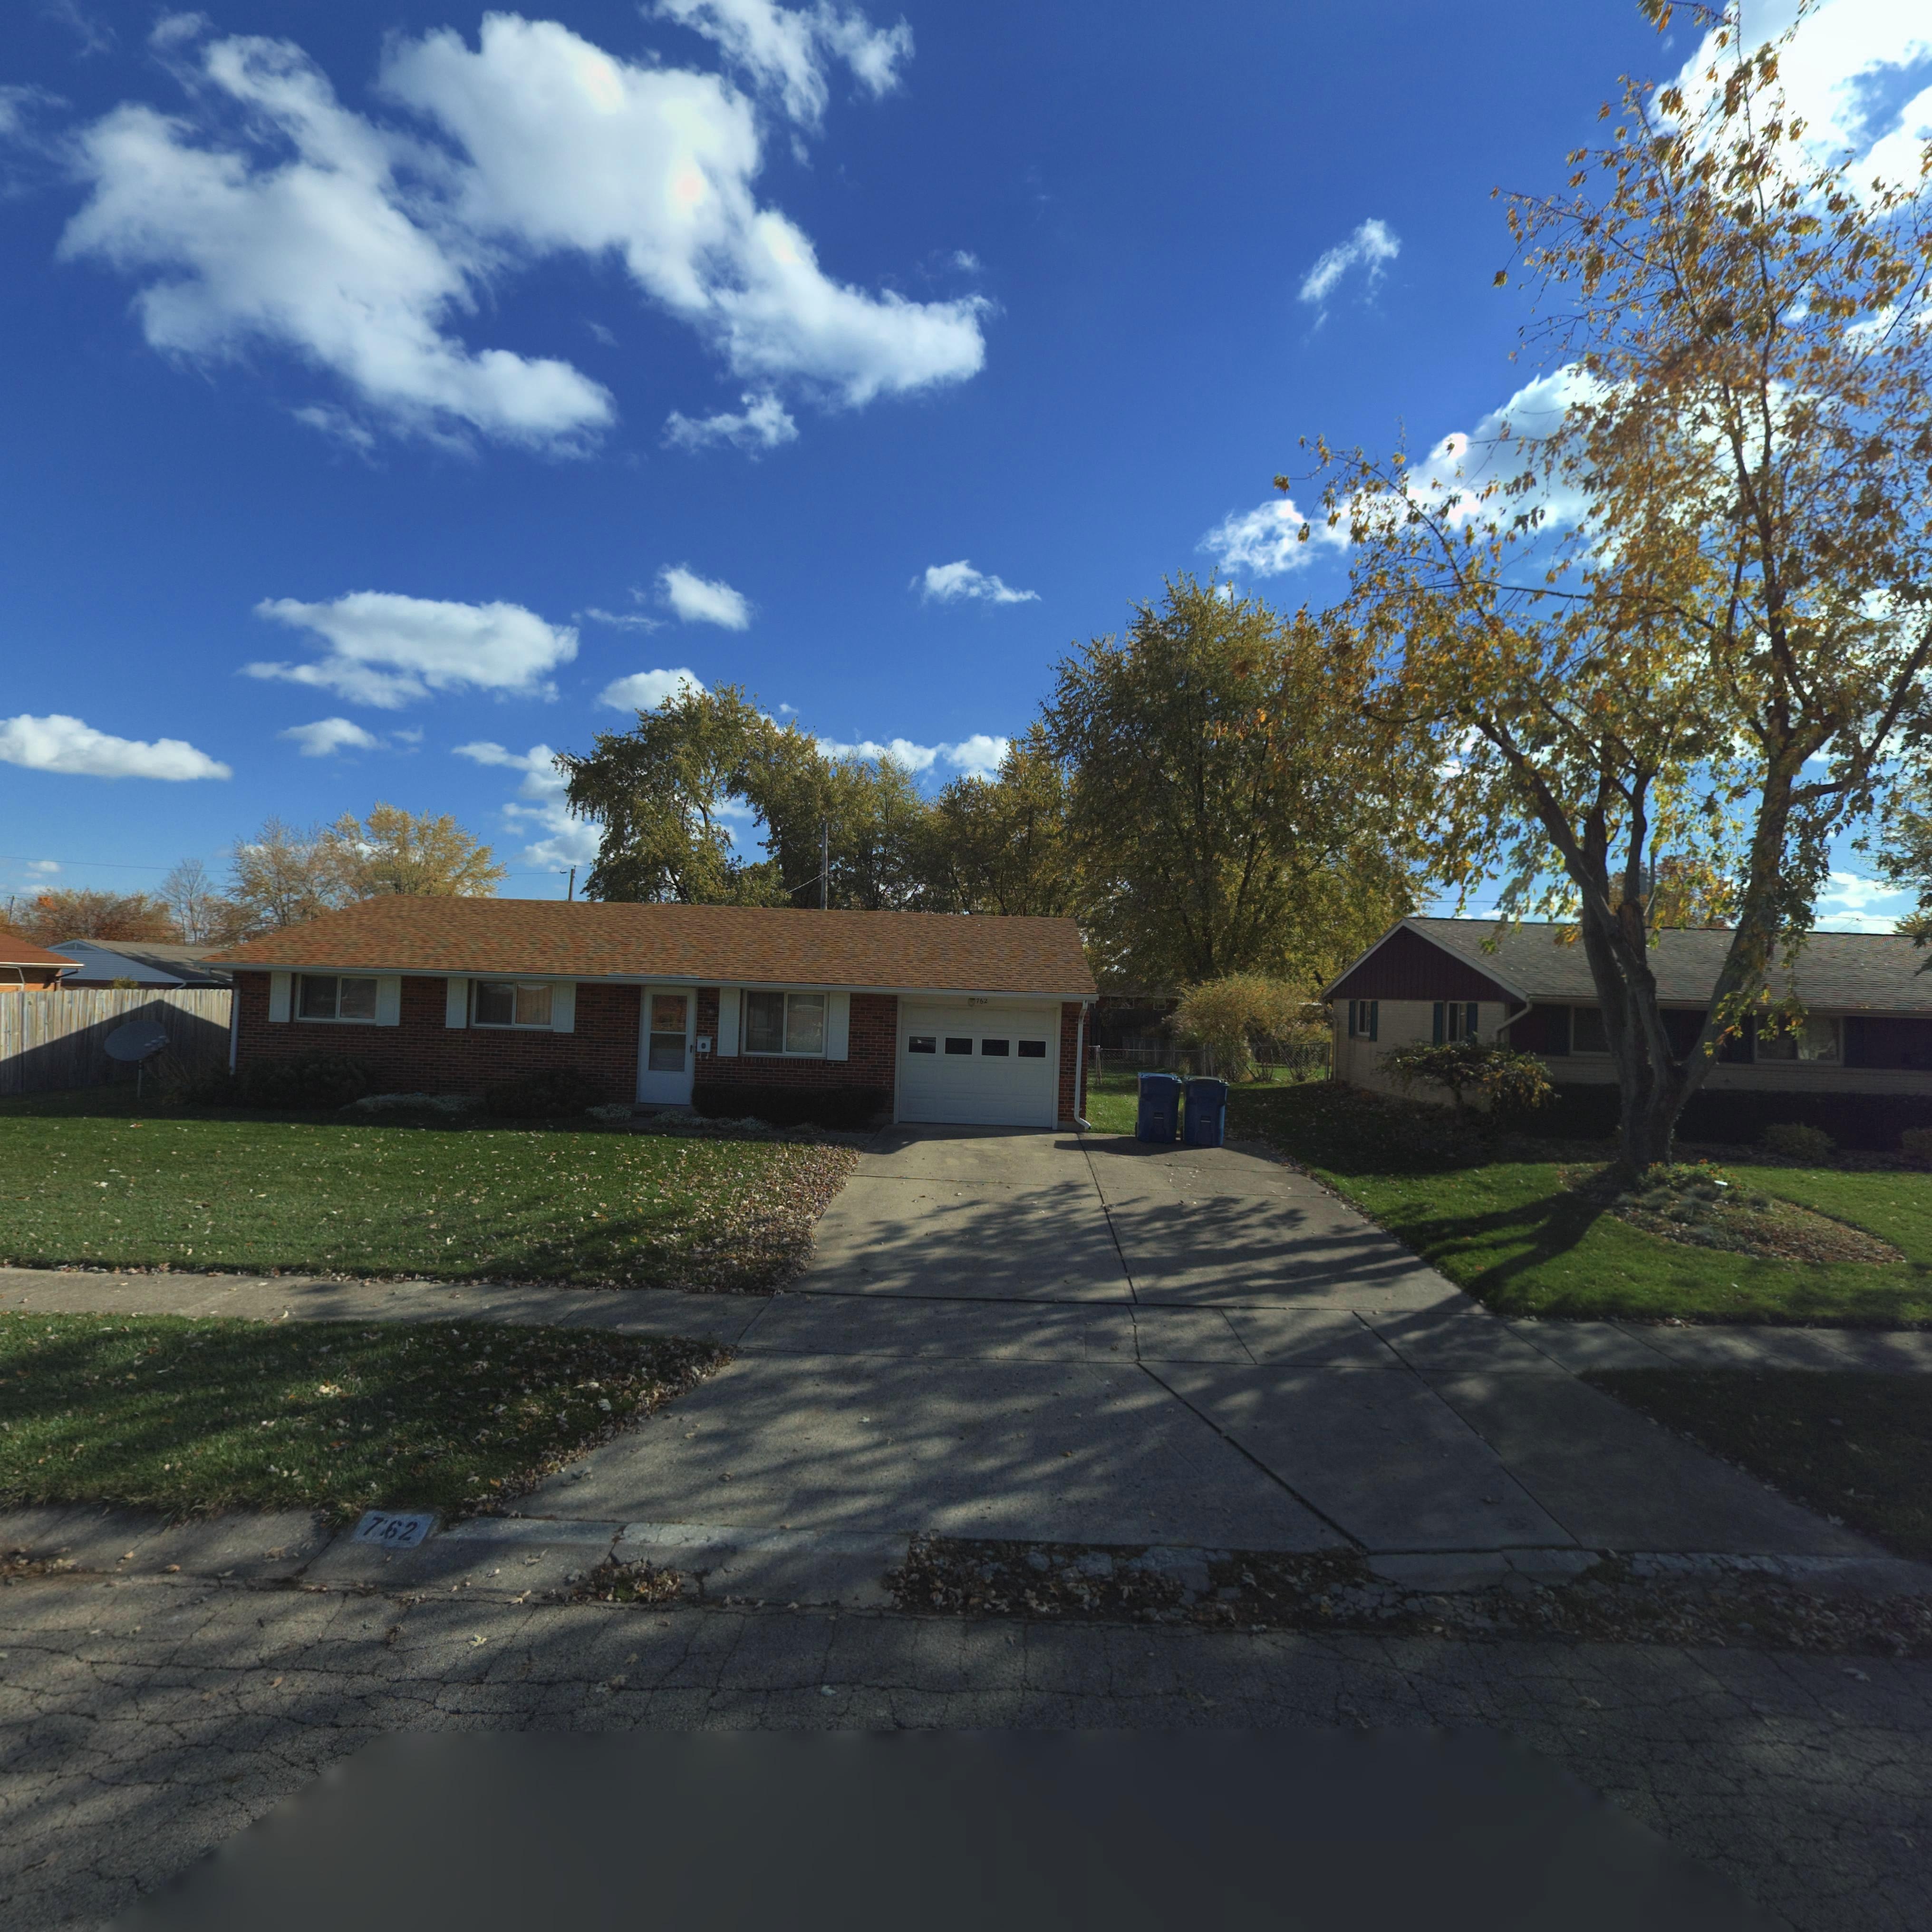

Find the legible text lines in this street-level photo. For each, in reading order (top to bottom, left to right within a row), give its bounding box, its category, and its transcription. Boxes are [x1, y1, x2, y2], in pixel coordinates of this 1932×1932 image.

[975, 997, 989, 1005] StreetNumber: 762
[358, 1515, 420, 1544] StreetNumber: 7*2